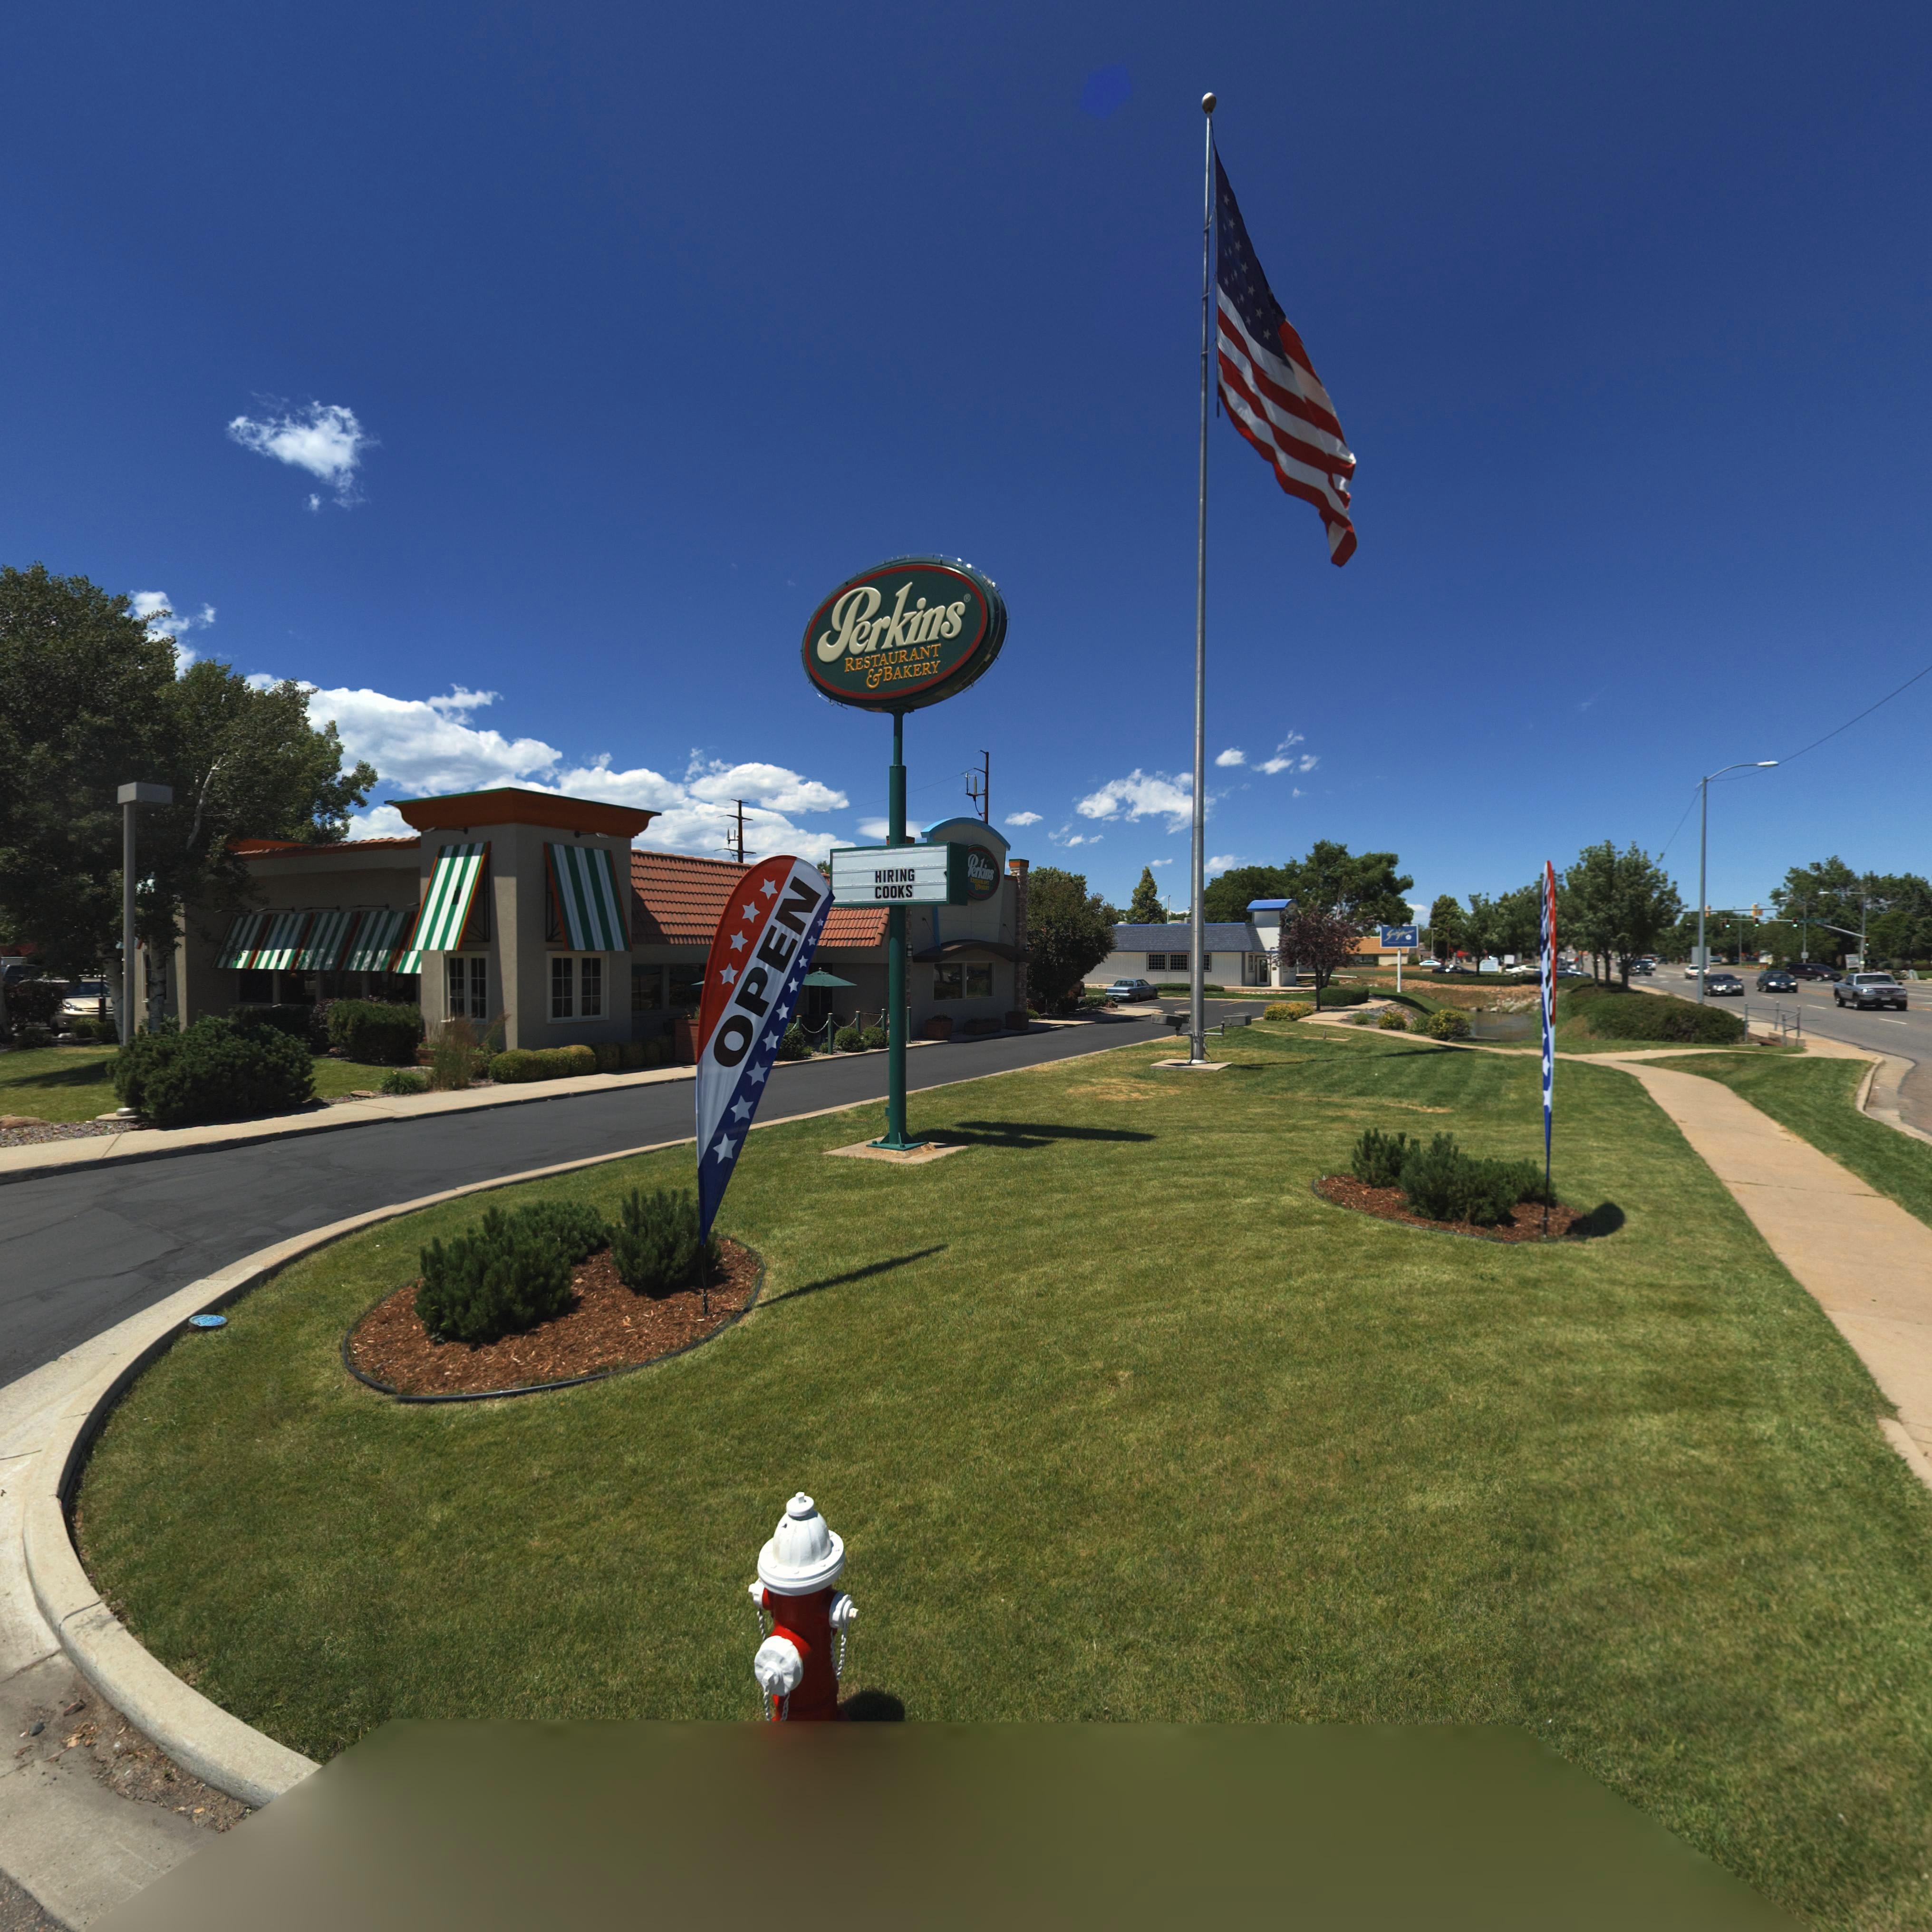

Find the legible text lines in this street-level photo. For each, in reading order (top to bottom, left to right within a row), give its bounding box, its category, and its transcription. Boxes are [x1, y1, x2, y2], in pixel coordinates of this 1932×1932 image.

[815, 580, 968, 666] BusinessName: Perkins
[843, 643, 942, 672] BusinessName: RESTAURANT
[864, 659, 941, 691] BusinessName: * BAKERY
[965, 853, 995, 881] BusinessName: Perkins
[969, 878, 990, 885] BusinessName: *EST*****T 
[975, 882, 989, 890] BusinessName: * B******
[1382, 927, 1414, 942] BusinessName: S*** A*******